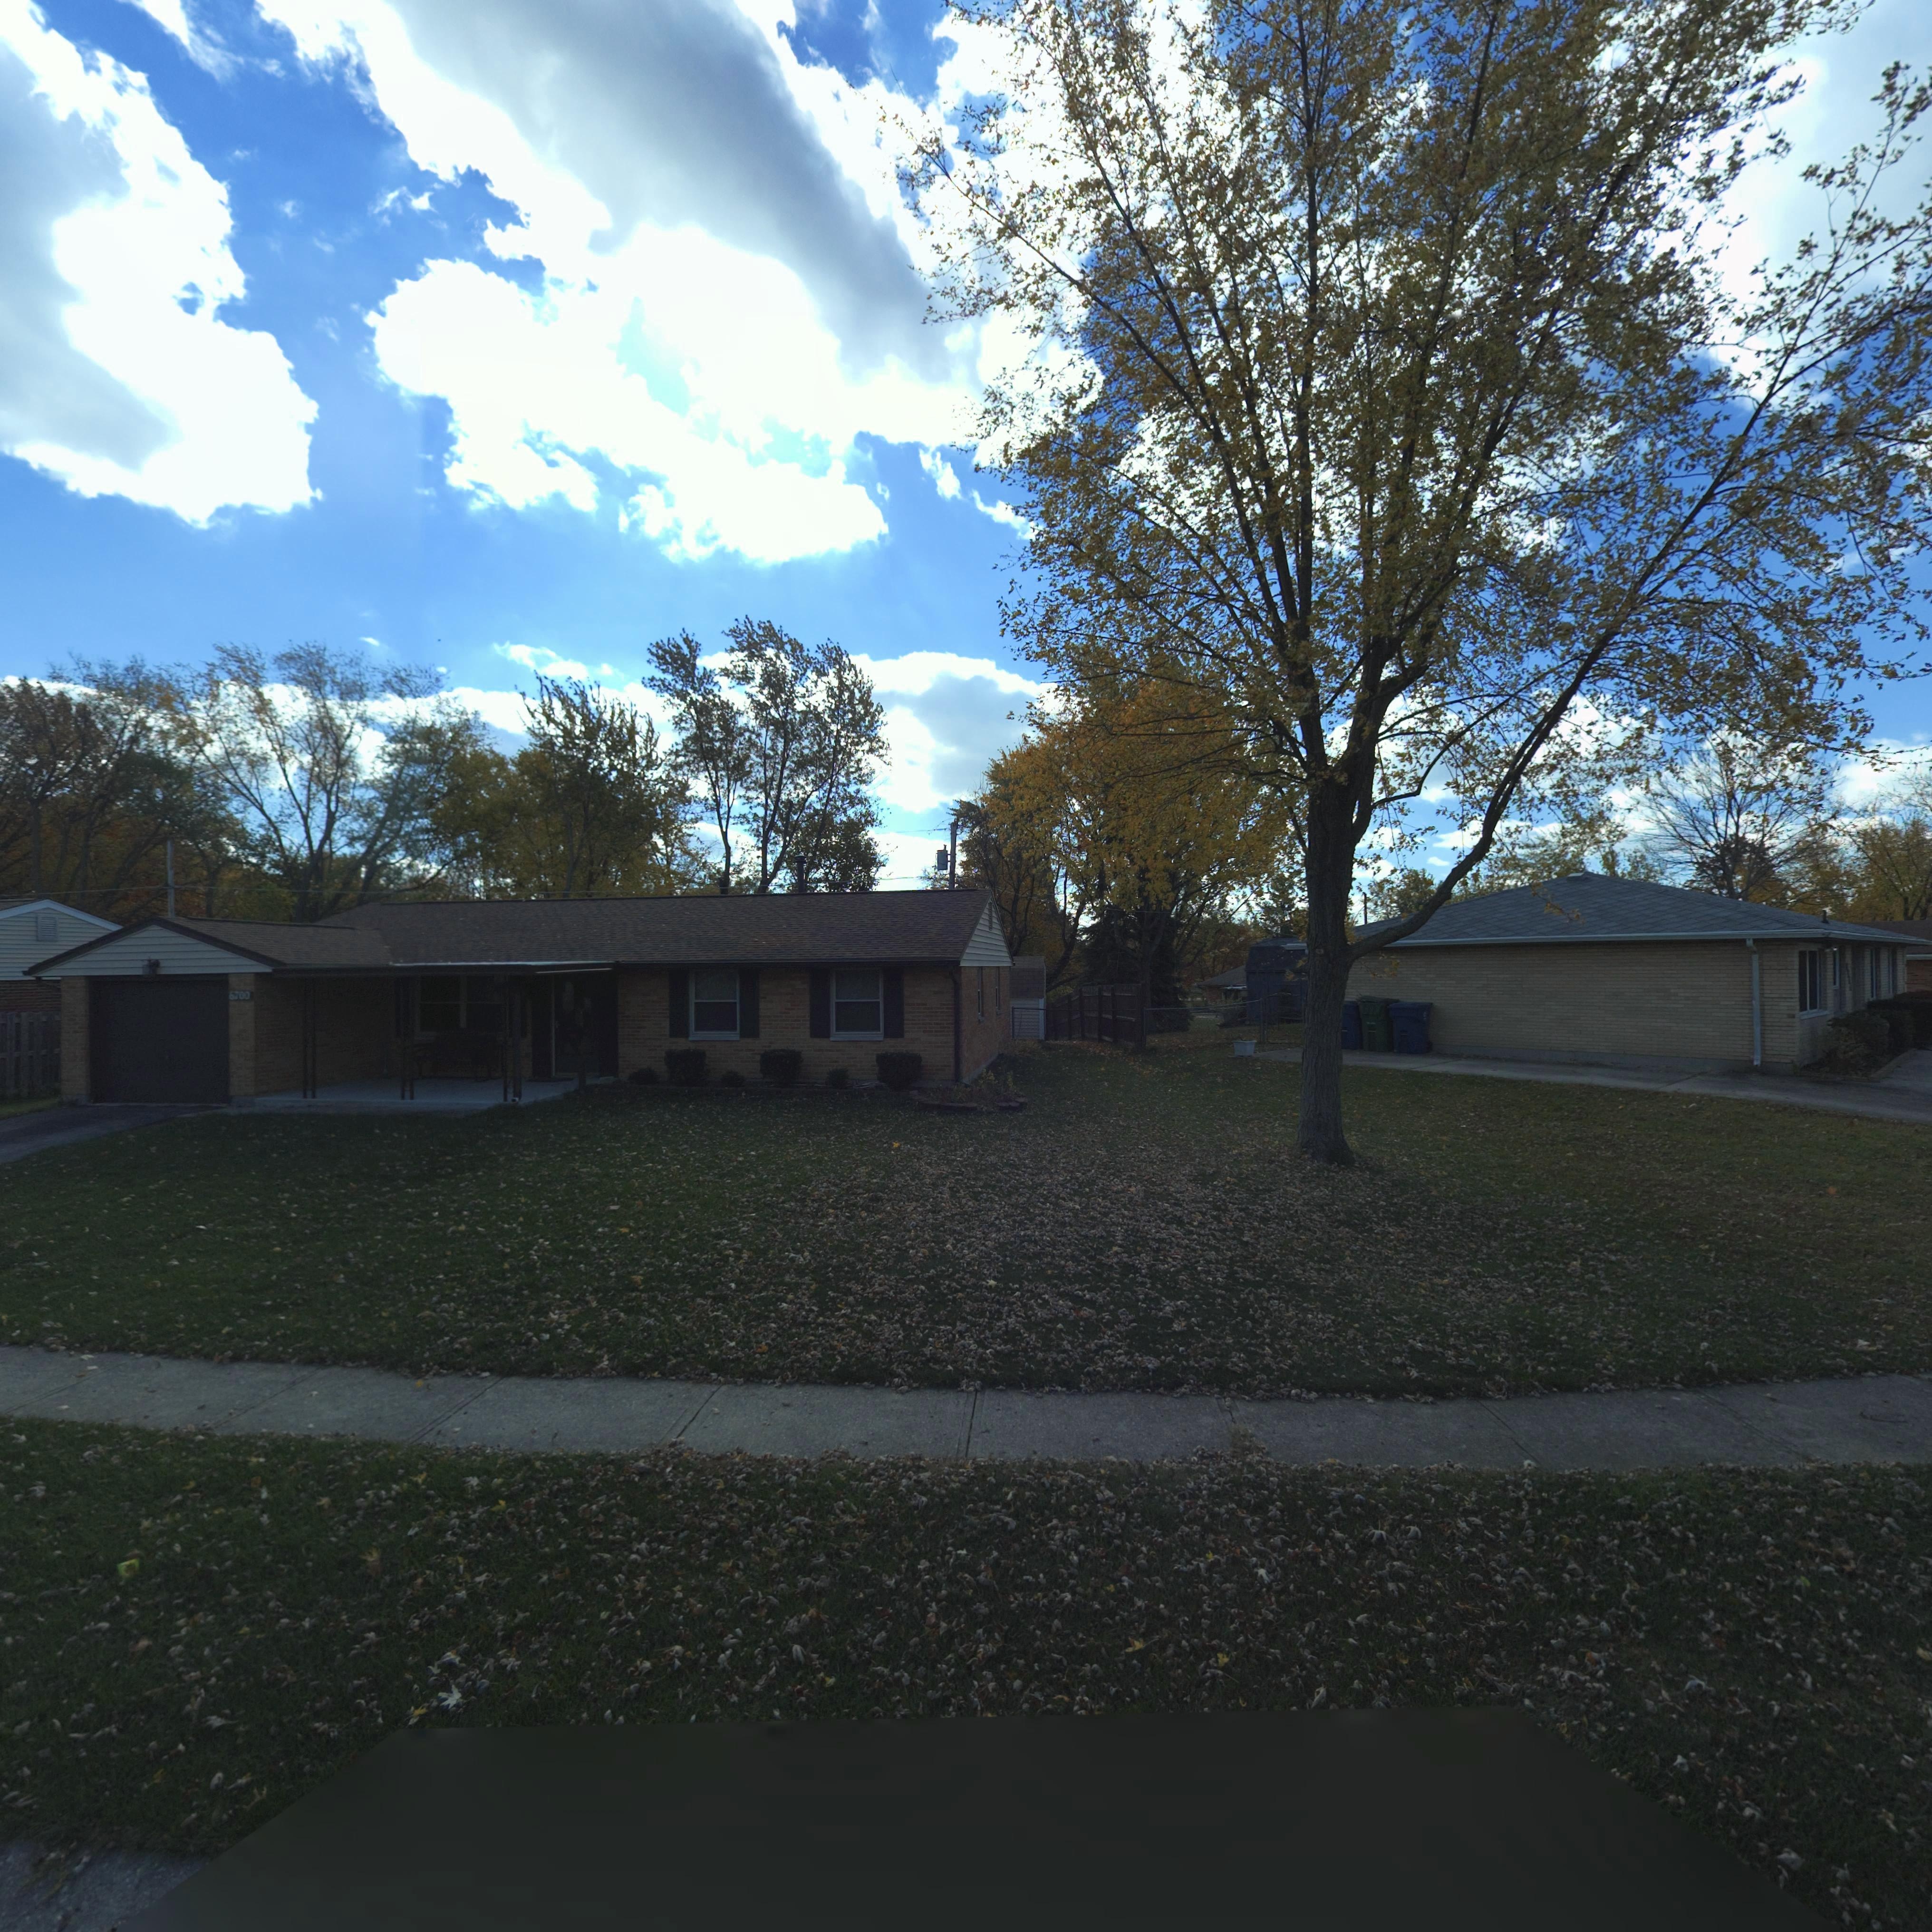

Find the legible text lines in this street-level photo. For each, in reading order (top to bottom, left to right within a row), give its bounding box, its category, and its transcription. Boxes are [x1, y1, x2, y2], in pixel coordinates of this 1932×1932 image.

[229, 991, 251, 1000] StreetNumber: 6700